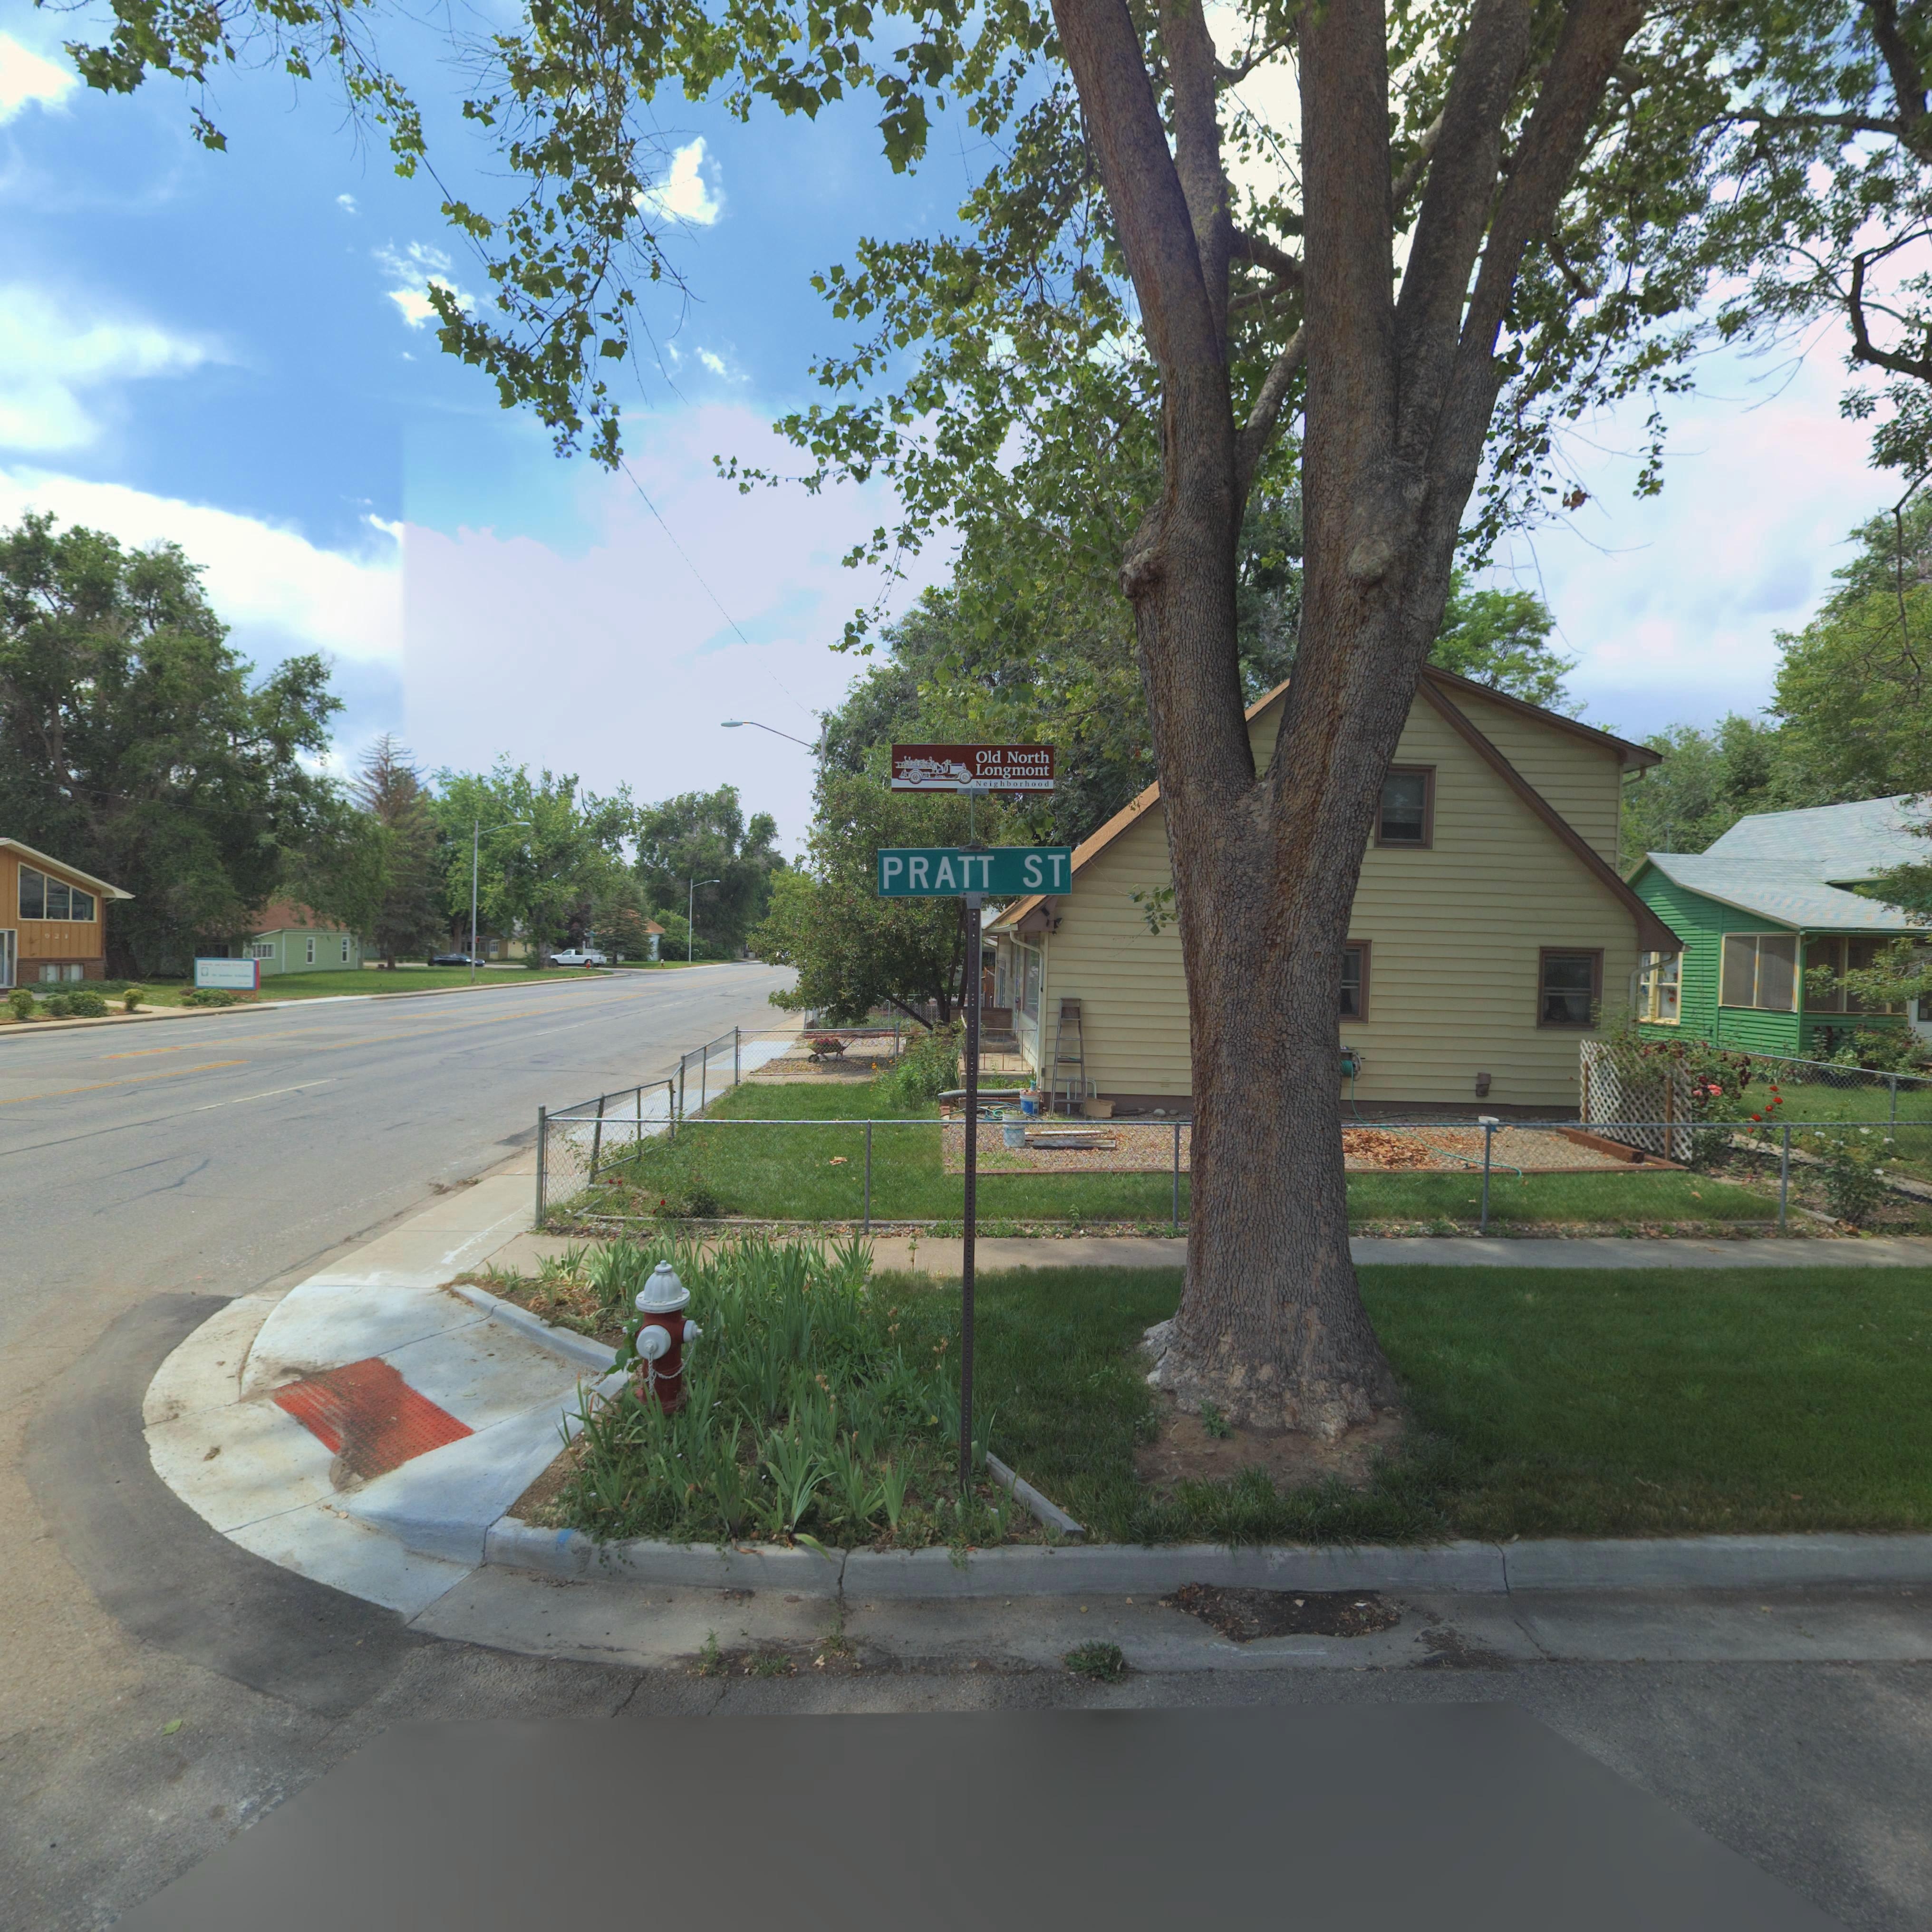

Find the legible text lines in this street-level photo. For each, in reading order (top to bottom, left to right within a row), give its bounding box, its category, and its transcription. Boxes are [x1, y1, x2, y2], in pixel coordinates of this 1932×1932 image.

[882, 854, 1066, 889] StreetName: PRATT ST
[44, 932, 68, 939] StreetNumber: 921